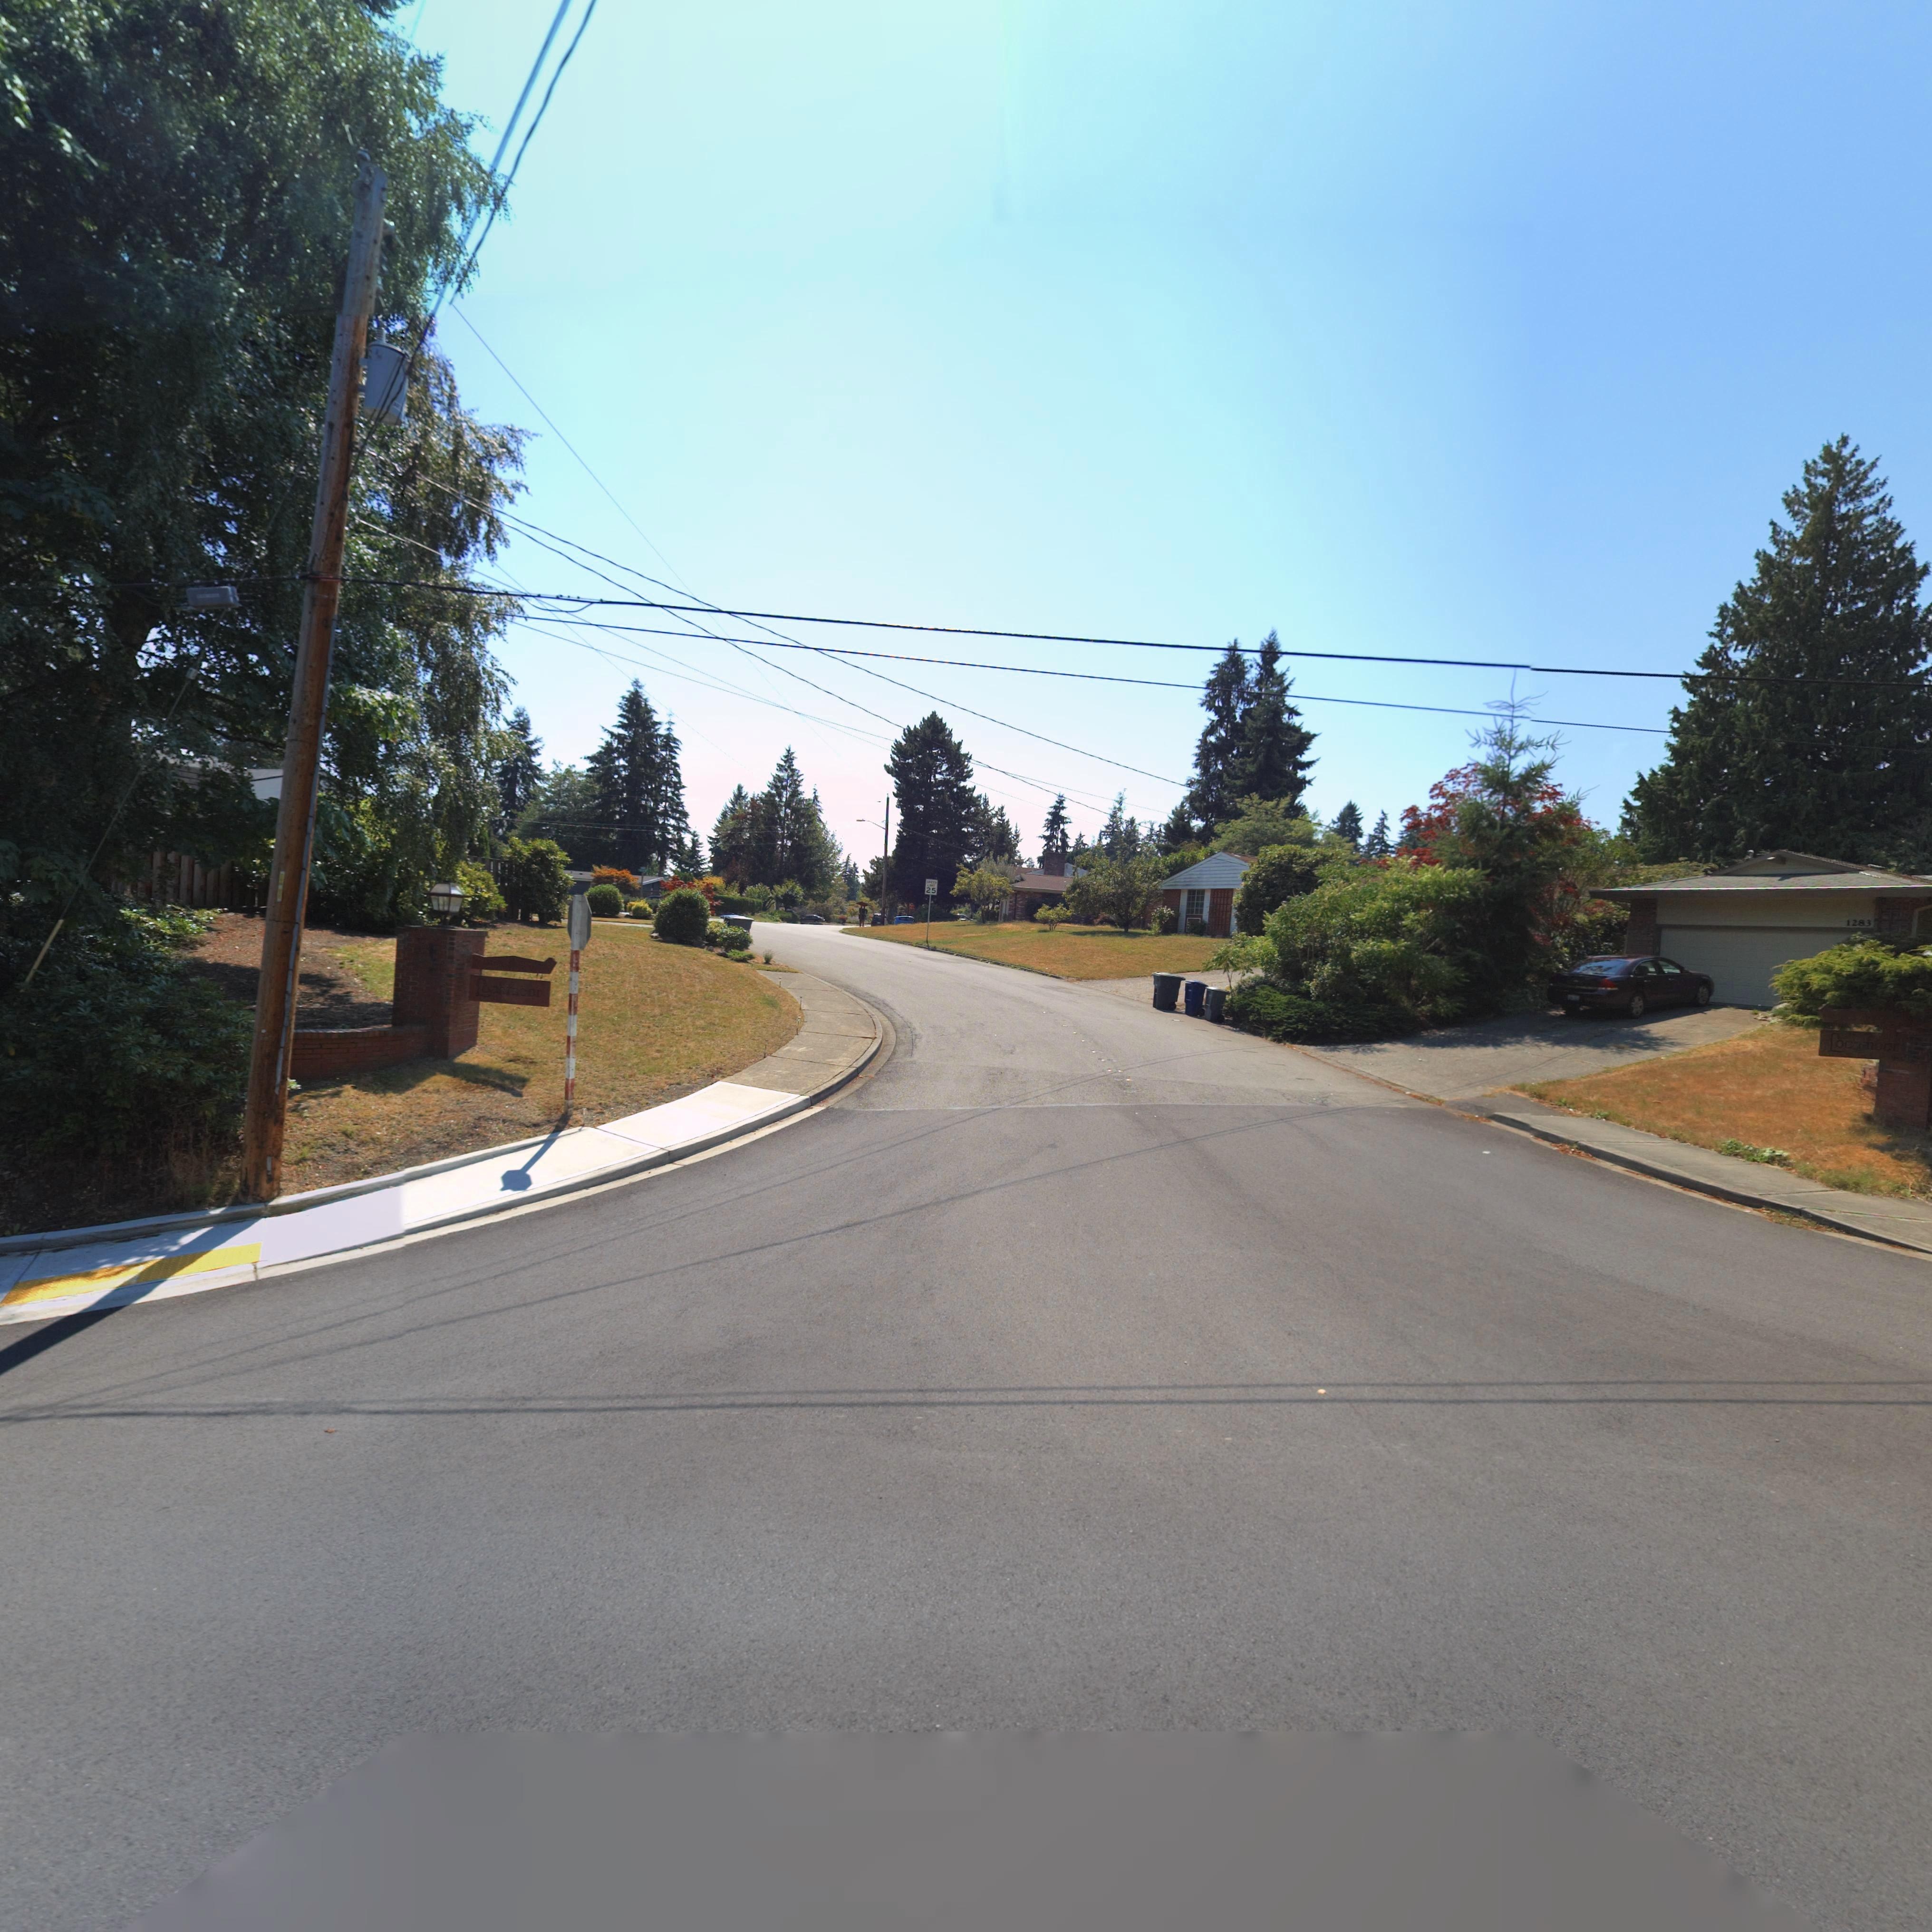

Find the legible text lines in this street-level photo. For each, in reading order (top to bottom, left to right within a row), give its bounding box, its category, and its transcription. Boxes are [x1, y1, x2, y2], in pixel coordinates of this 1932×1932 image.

[1845, 918, 1872, 927] StreetNumber: 1283